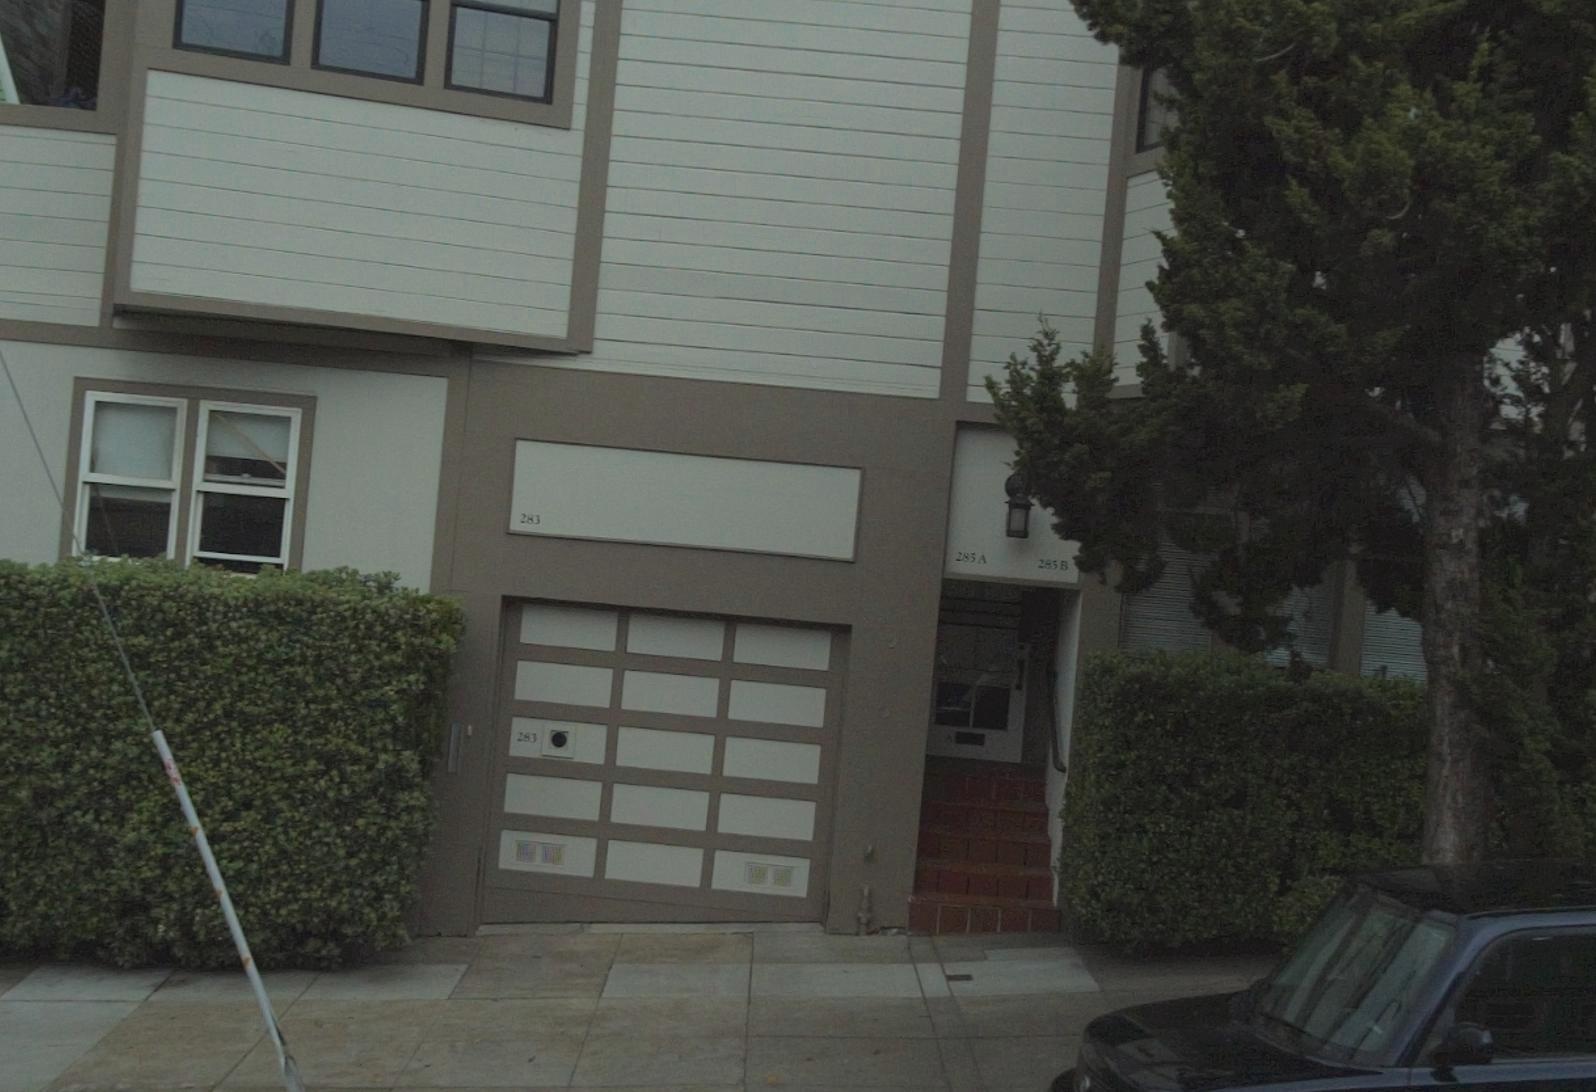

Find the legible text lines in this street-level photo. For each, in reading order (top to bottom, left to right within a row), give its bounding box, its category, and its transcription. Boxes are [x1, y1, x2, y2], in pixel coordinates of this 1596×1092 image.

[519, 513, 541, 525] StreetNumber: 283
[955, 550, 988, 565] StreetNumber: 285A
[1036, 557, 1069, 572] StreetNumber: 285B
[516, 731, 537, 744] StreetNumber: 283